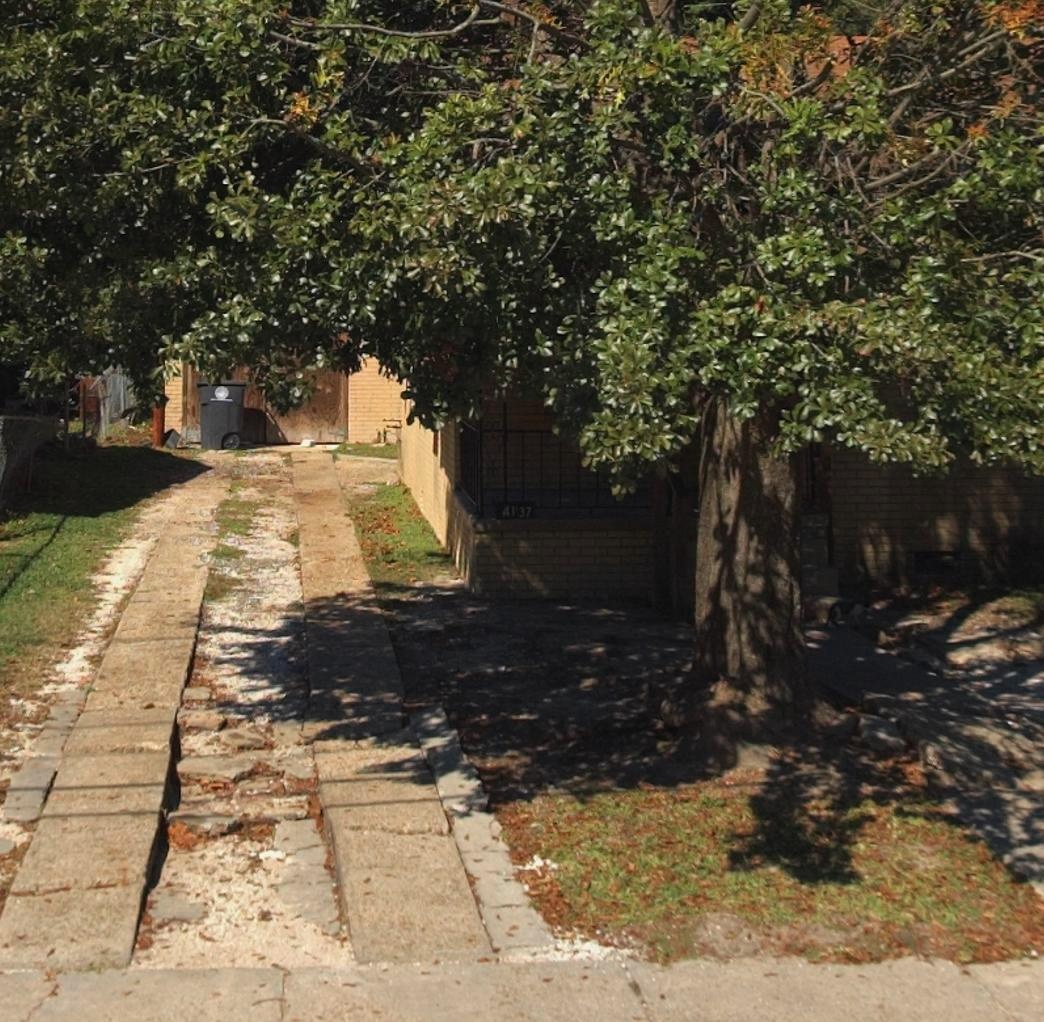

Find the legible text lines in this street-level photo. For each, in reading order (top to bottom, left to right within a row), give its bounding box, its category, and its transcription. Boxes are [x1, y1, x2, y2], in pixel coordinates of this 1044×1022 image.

[501, 504, 533, 519] StreetNumber: 4137